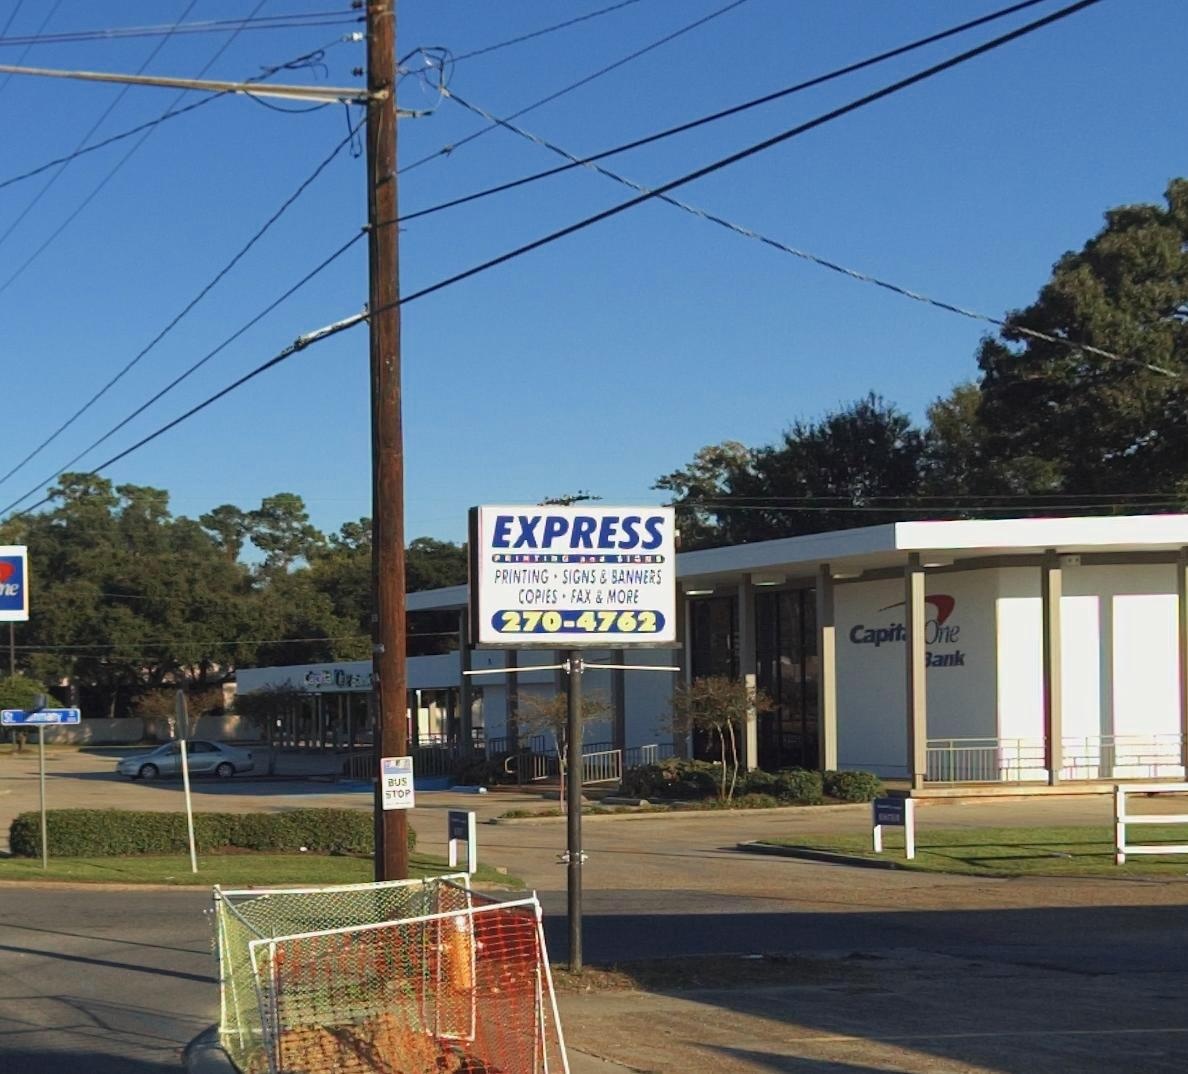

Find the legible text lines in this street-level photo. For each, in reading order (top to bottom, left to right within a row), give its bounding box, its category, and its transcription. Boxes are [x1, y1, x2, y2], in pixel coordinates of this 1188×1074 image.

[490, 515, 666, 550] BusinessName: EXPRESS
[492, 554, 663, 563] BusinessName: PRINTING and SIGNS
[493, 567, 663, 585] None: PRINTING - SIGNS & BANNERS
[0, 582, 21, 598] None: ne
[518, 587, 640, 606] None: COPIES - FAX & MORE
[499, 610, 658, 633] None: 270-4762
[848, 618, 961, 649] BusinessName: Capit** One
[925, 649, 967, 669] BusinessName: *ank
[302, 668, 373, 690] BusinessName: Capital O** Bank
[2, 710, 63, 724] StreetName: St. ****mary
[387, 776, 408, 787] None: BUS
[385, 788, 412, 801] None: STOP